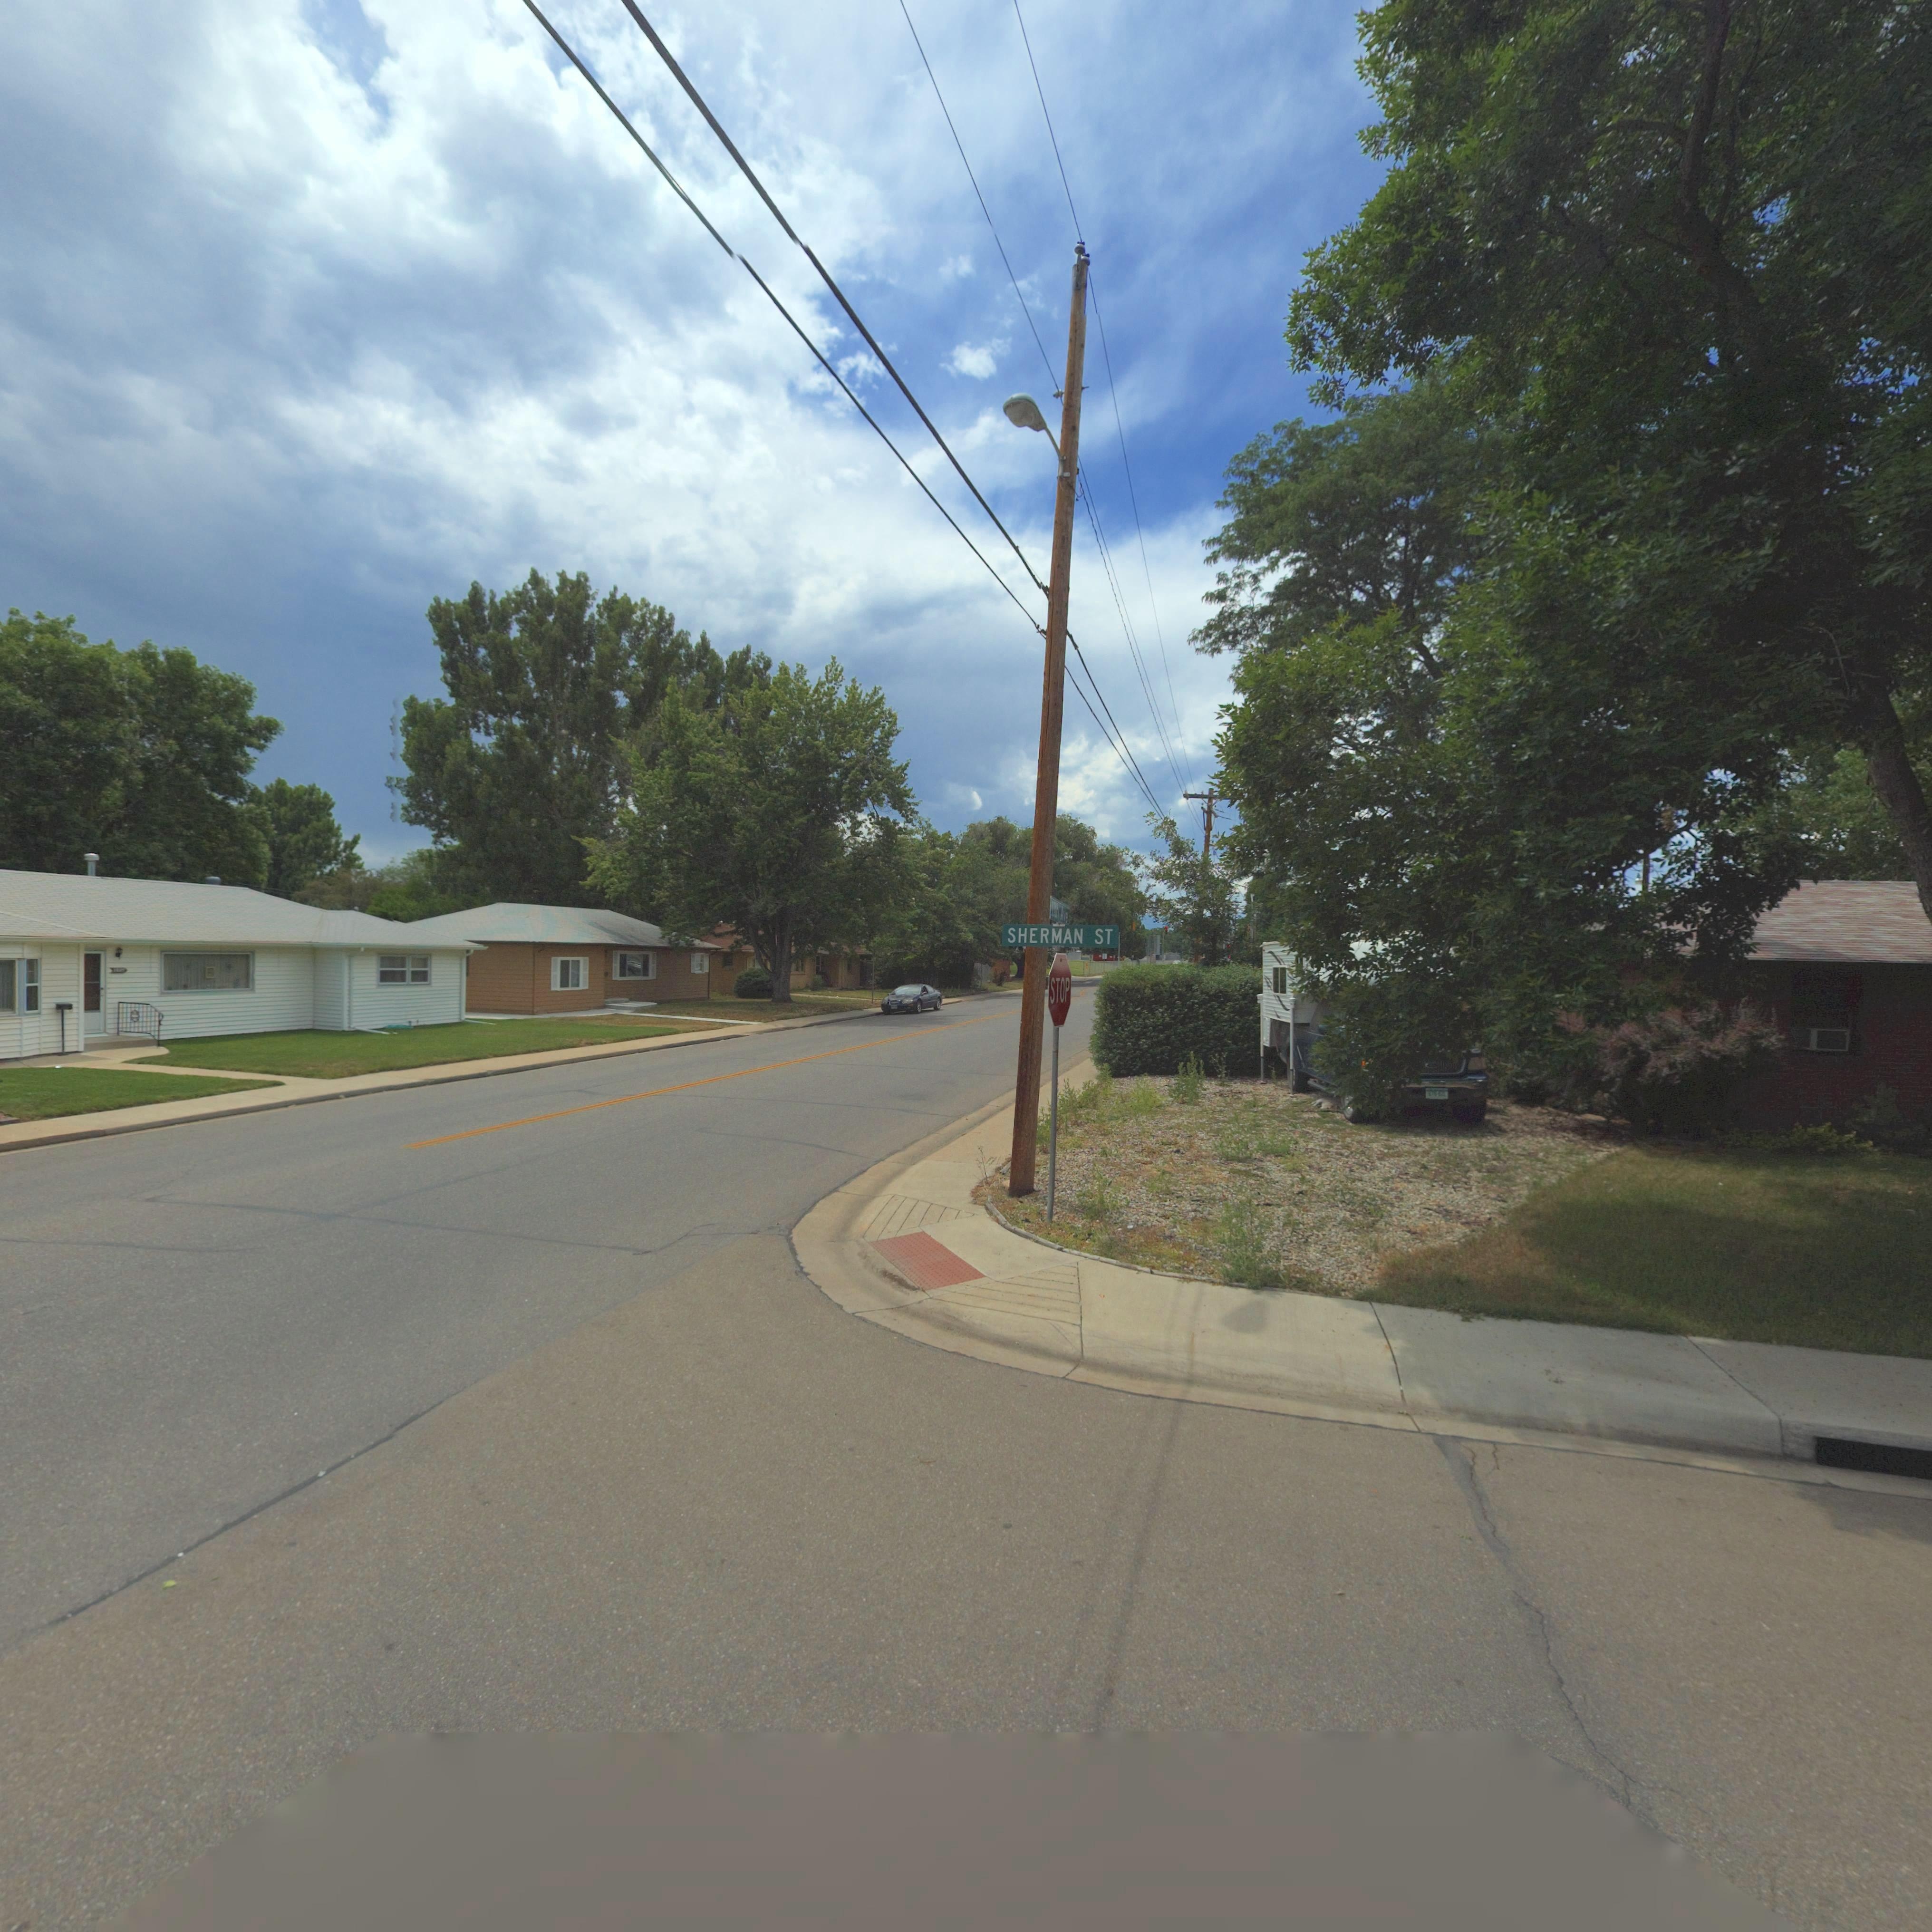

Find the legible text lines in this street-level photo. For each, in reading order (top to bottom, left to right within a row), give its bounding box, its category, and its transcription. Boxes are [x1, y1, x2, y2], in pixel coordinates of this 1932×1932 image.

[1051, 900, 1068, 923] StreetName: 11*h Ave
[1006, 927, 1114, 945] StreetName: SHERMAN ST
[113, 967, 125, 972] StreetNumber: 1***